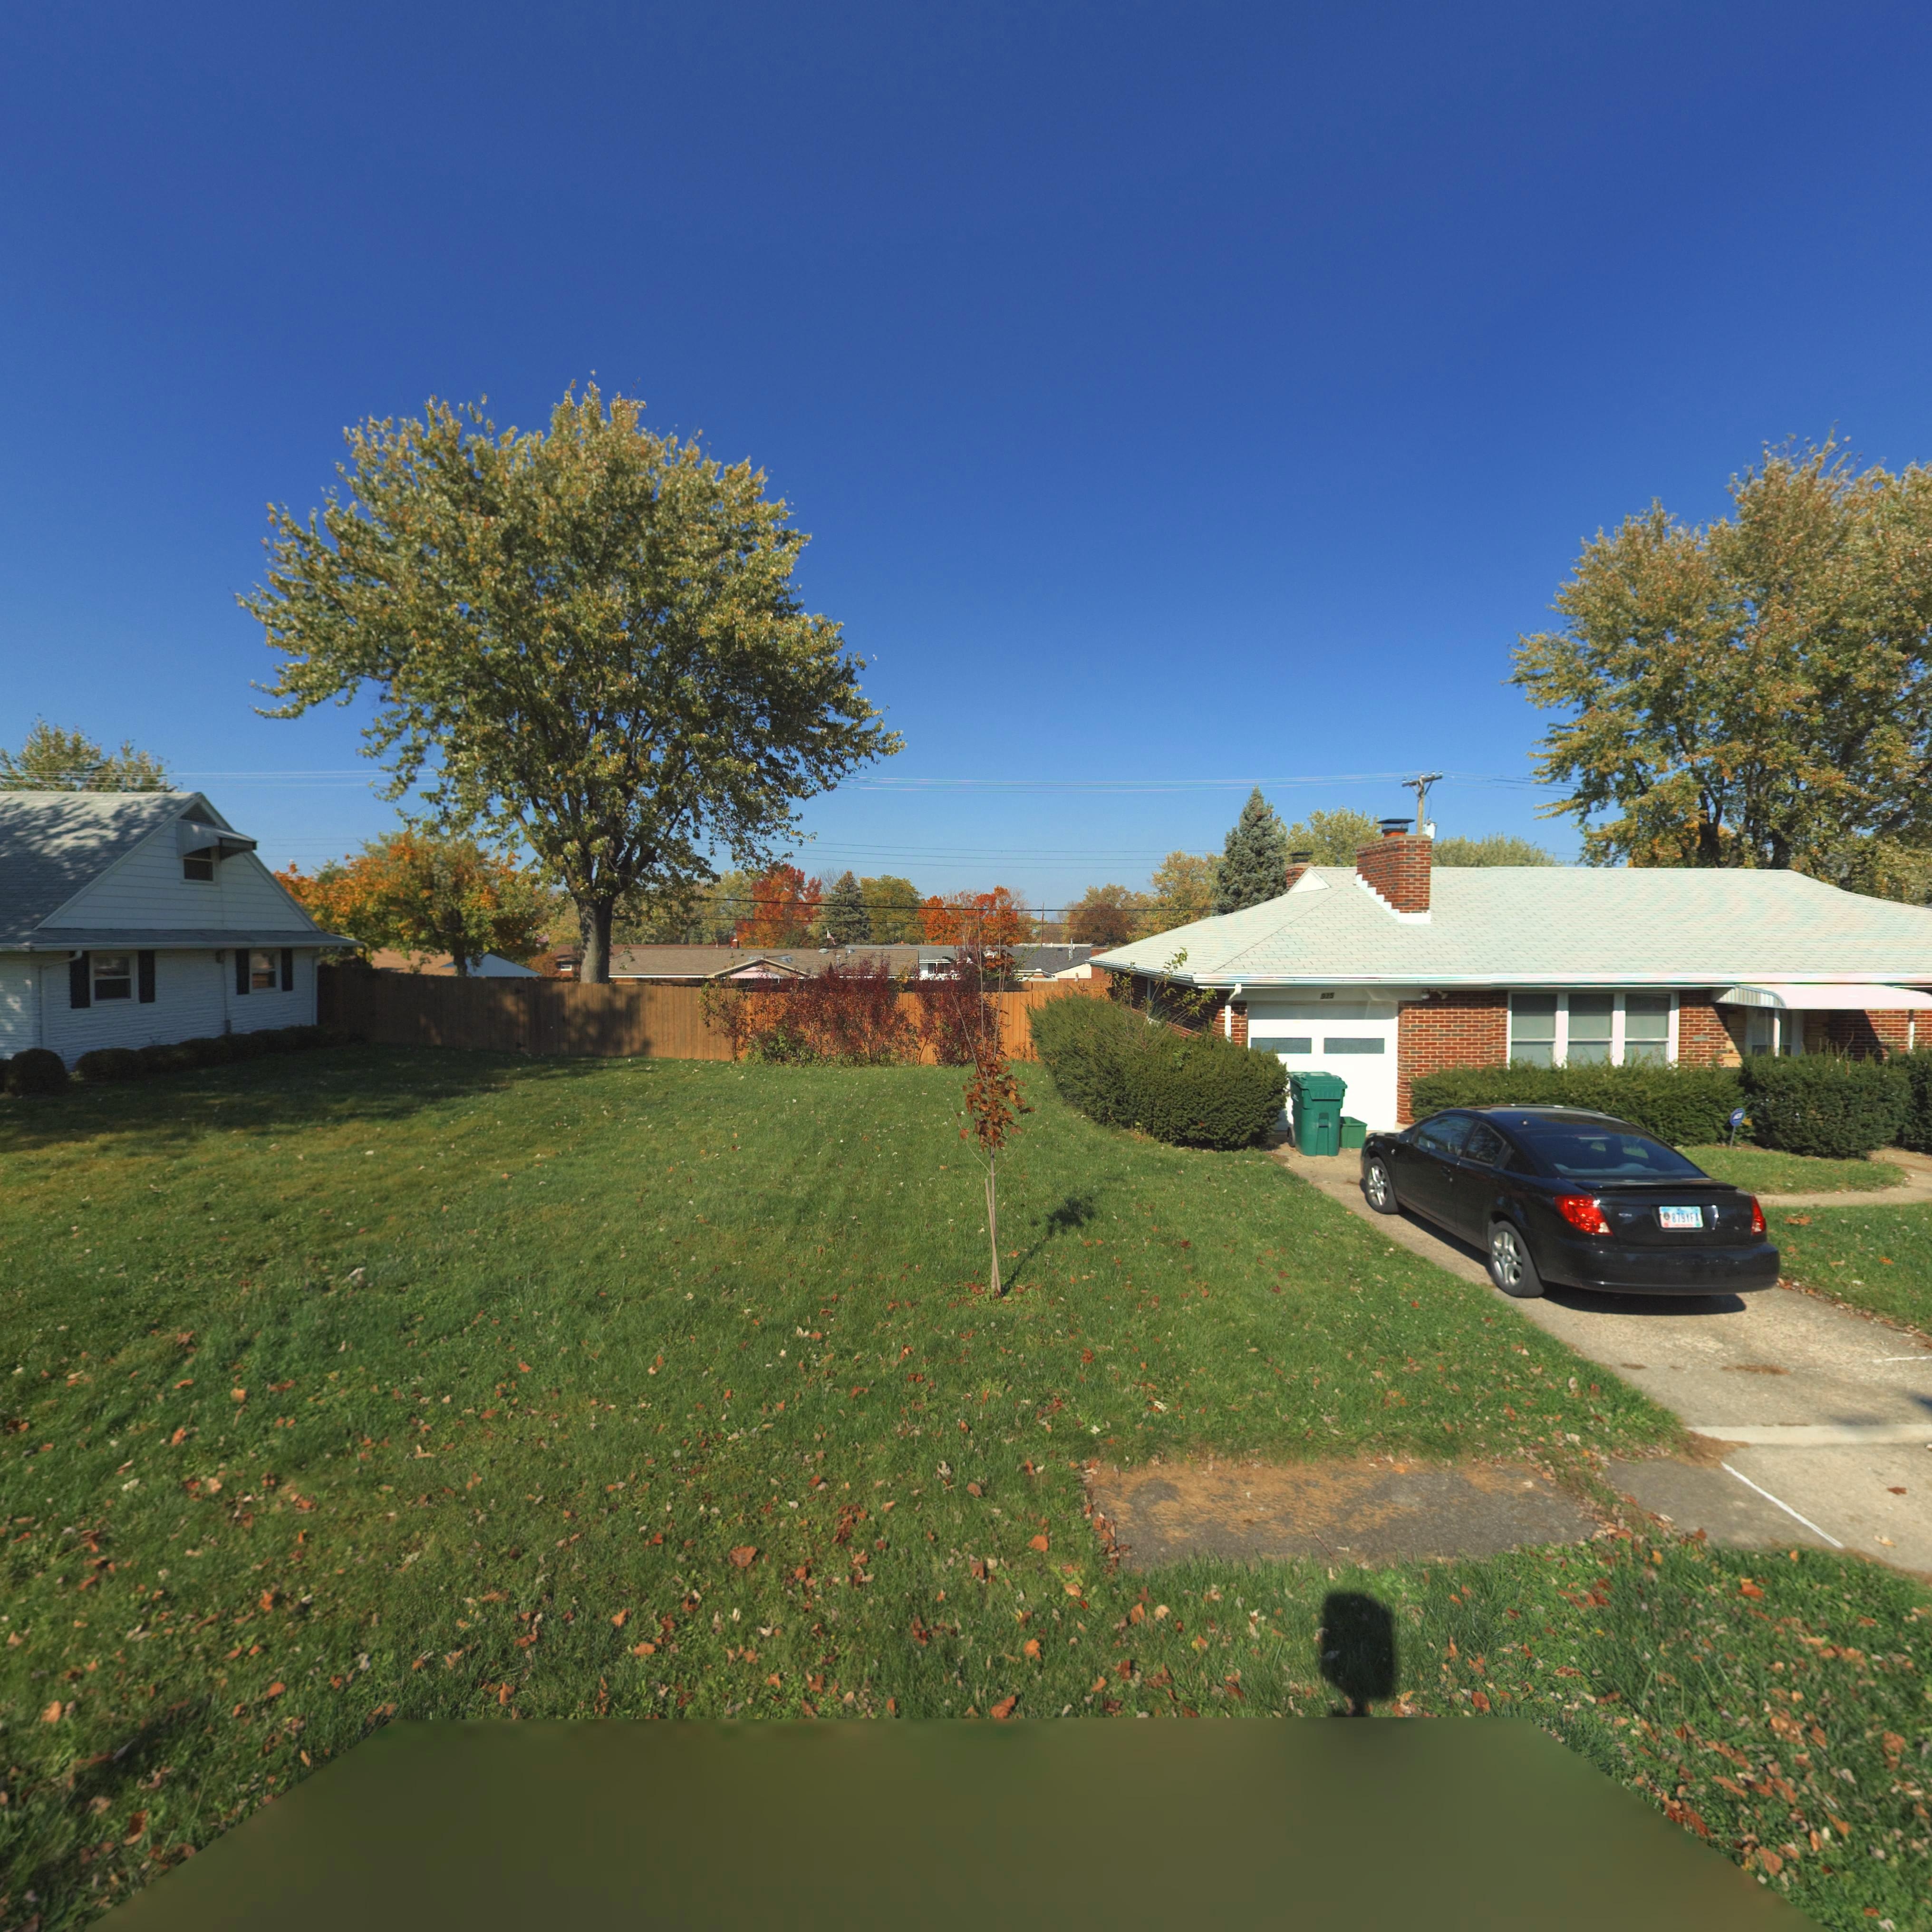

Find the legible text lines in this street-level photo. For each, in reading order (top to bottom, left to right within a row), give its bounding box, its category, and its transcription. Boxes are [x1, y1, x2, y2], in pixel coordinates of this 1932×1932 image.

[1319, 992, 1335, 999] StreetNumber: 935
[1731, 1111, 1744, 1120] None: ADT
[1671, 1212, 1700, 1223] None: 879YFA